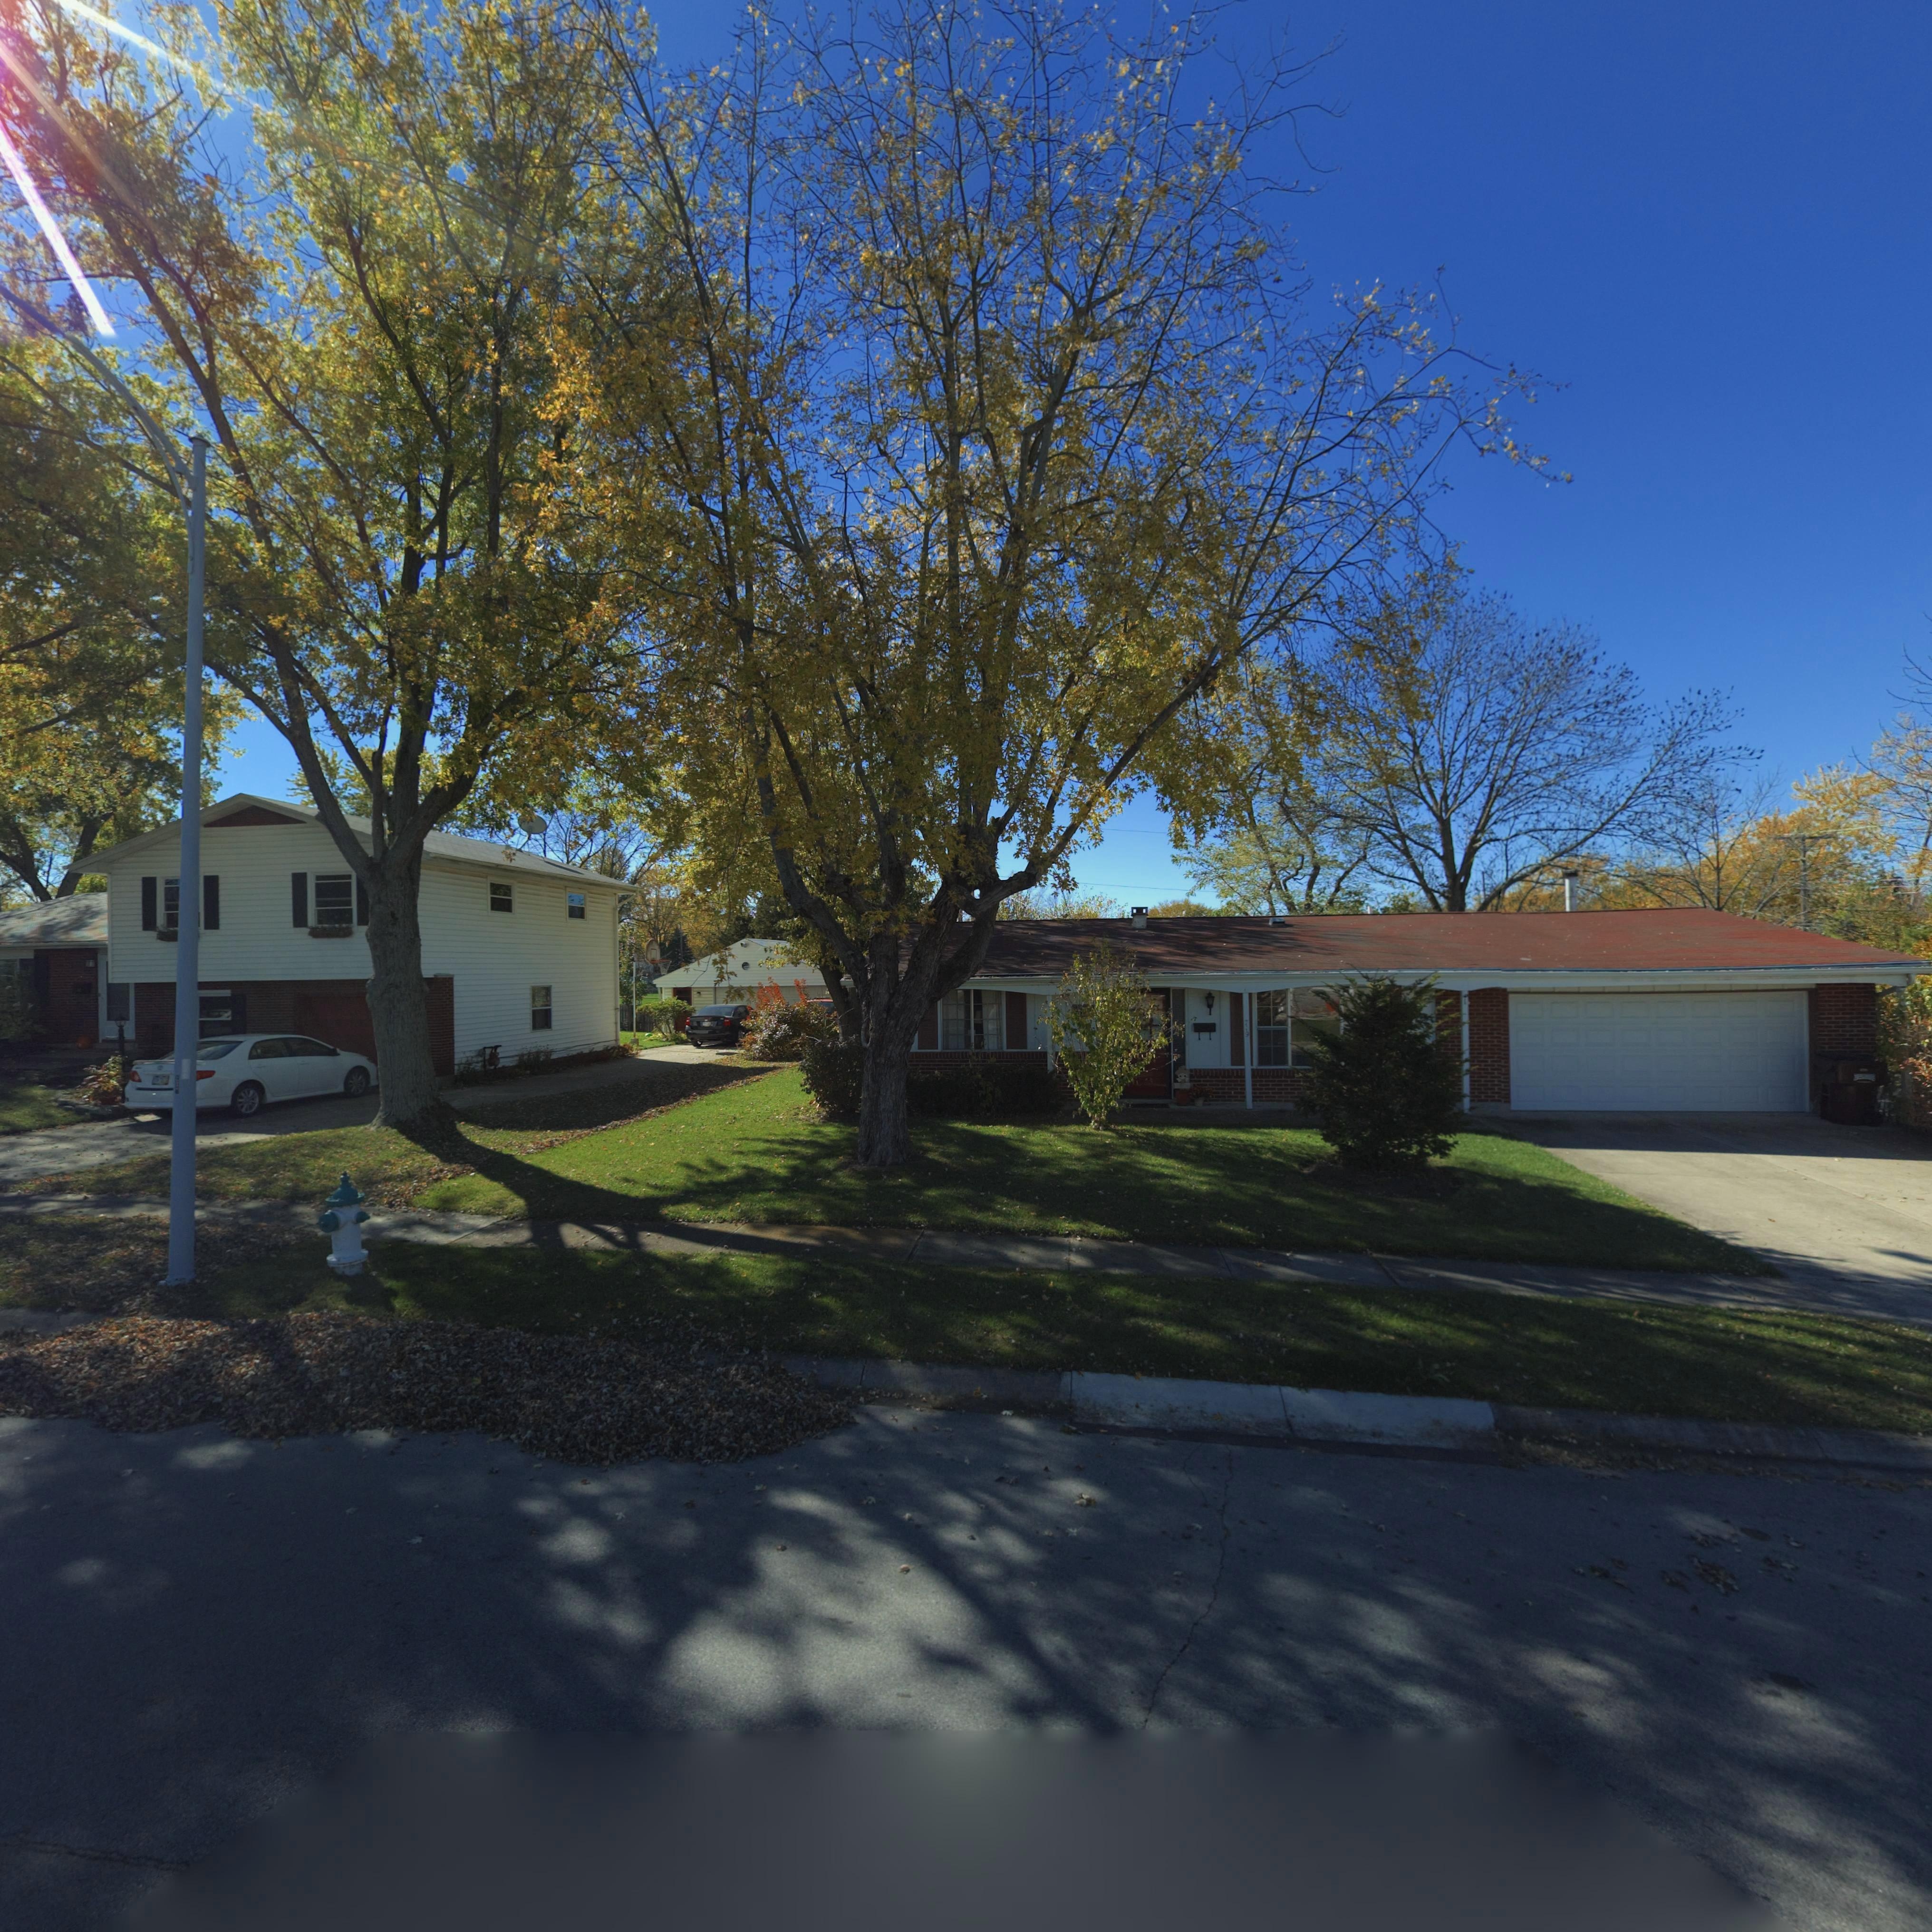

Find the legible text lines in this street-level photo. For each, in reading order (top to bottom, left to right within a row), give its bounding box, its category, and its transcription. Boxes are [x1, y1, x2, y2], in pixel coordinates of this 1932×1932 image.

[1243, 1018, 1251, 1039] StreetNumber: 719